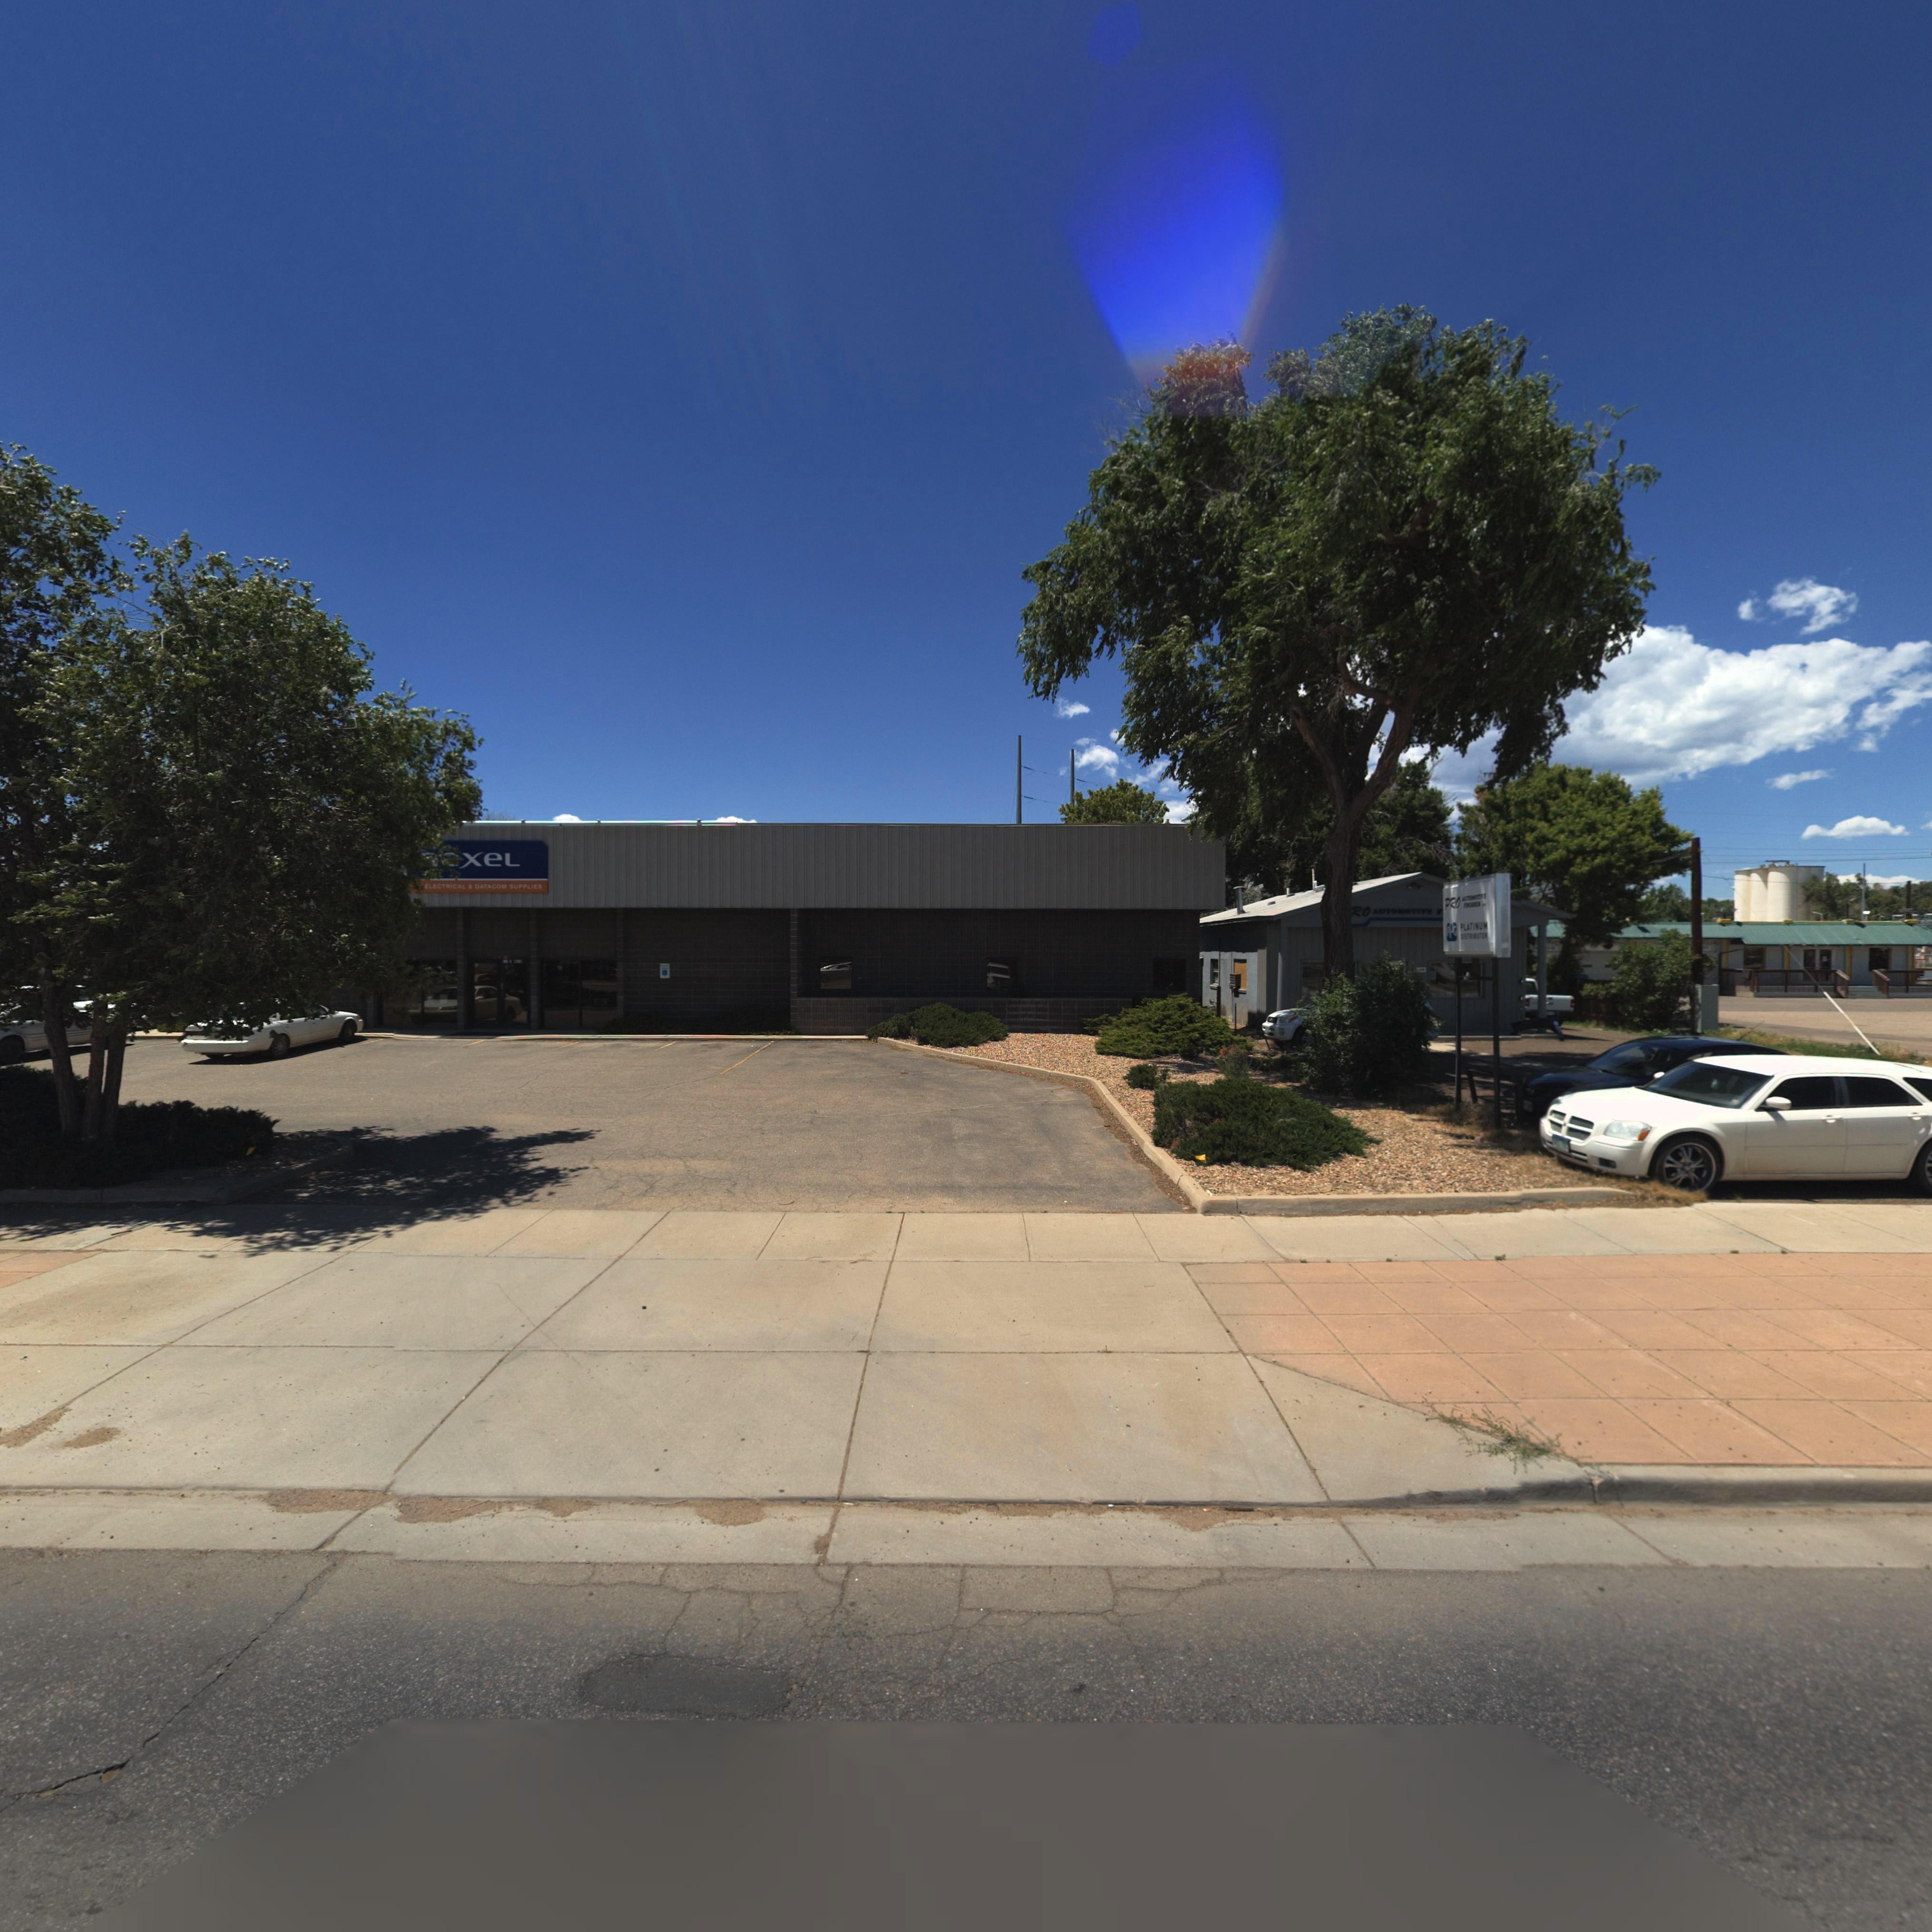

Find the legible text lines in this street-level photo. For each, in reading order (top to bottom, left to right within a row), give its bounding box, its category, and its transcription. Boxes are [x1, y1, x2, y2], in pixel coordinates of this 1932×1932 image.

[415, 851, 521, 870] BusinessName: **xeL
[1351, 905, 1372, 918] BusinessName: RO
[1443, 895, 1461, 911] BusinessName: PRO
[1446, 922, 1458, 939] StreetNumber: PPG